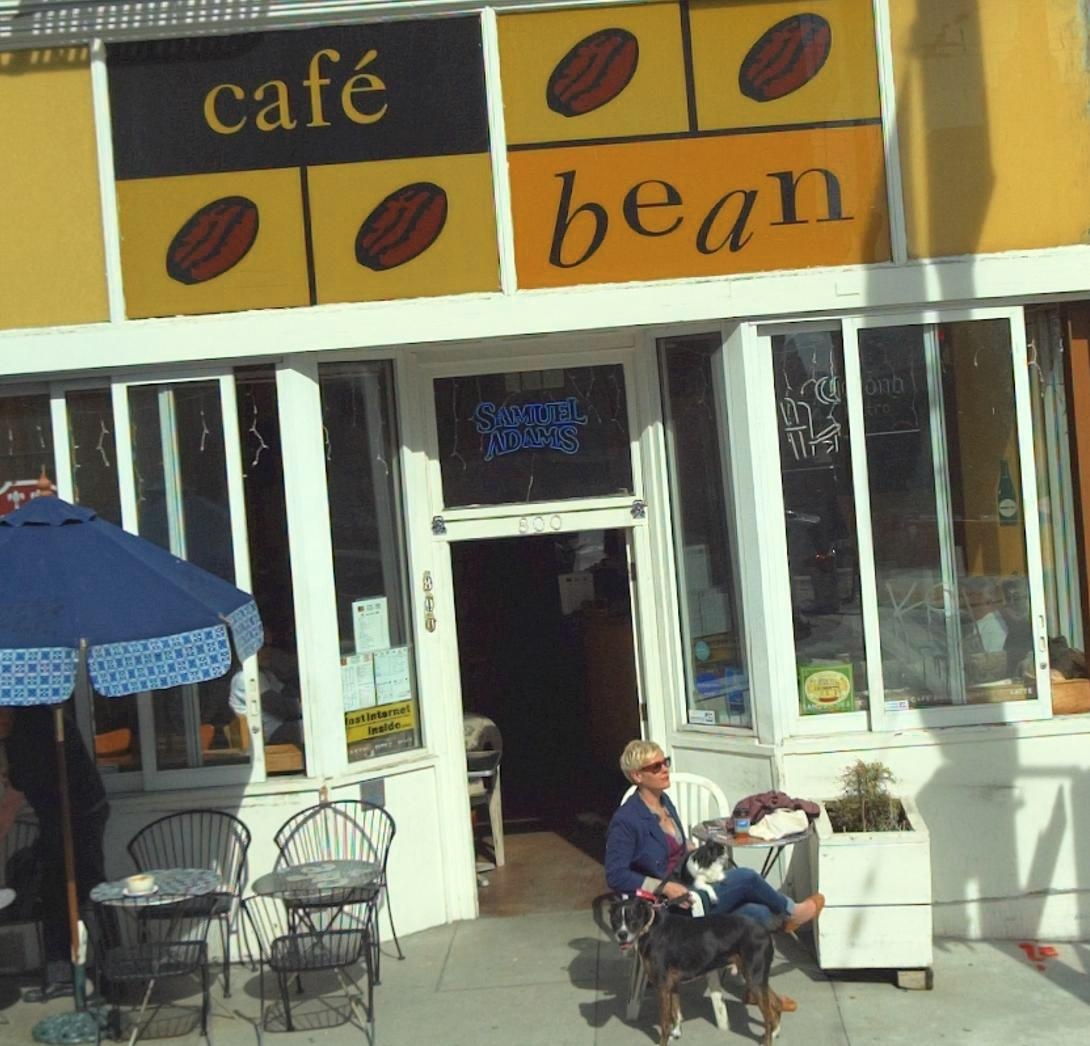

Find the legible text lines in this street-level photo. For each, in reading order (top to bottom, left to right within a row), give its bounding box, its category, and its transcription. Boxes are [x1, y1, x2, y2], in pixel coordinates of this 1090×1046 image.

[185, 44, 395, 141] BusinessName: cafe
[540, 162, 862, 278] BusinessName: bean
[861, 372, 909, 399] None: ona
[469, 392, 596, 436] None: SAMUEL
[477, 419, 583, 468] None: ADAMS
[514, 512, 569, 539] StreetNumber: 800
[419, 569, 440, 636] None: 800
[347, 701, 414, 729] None: astInternet
[364, 718, 403, 740] None: Inside